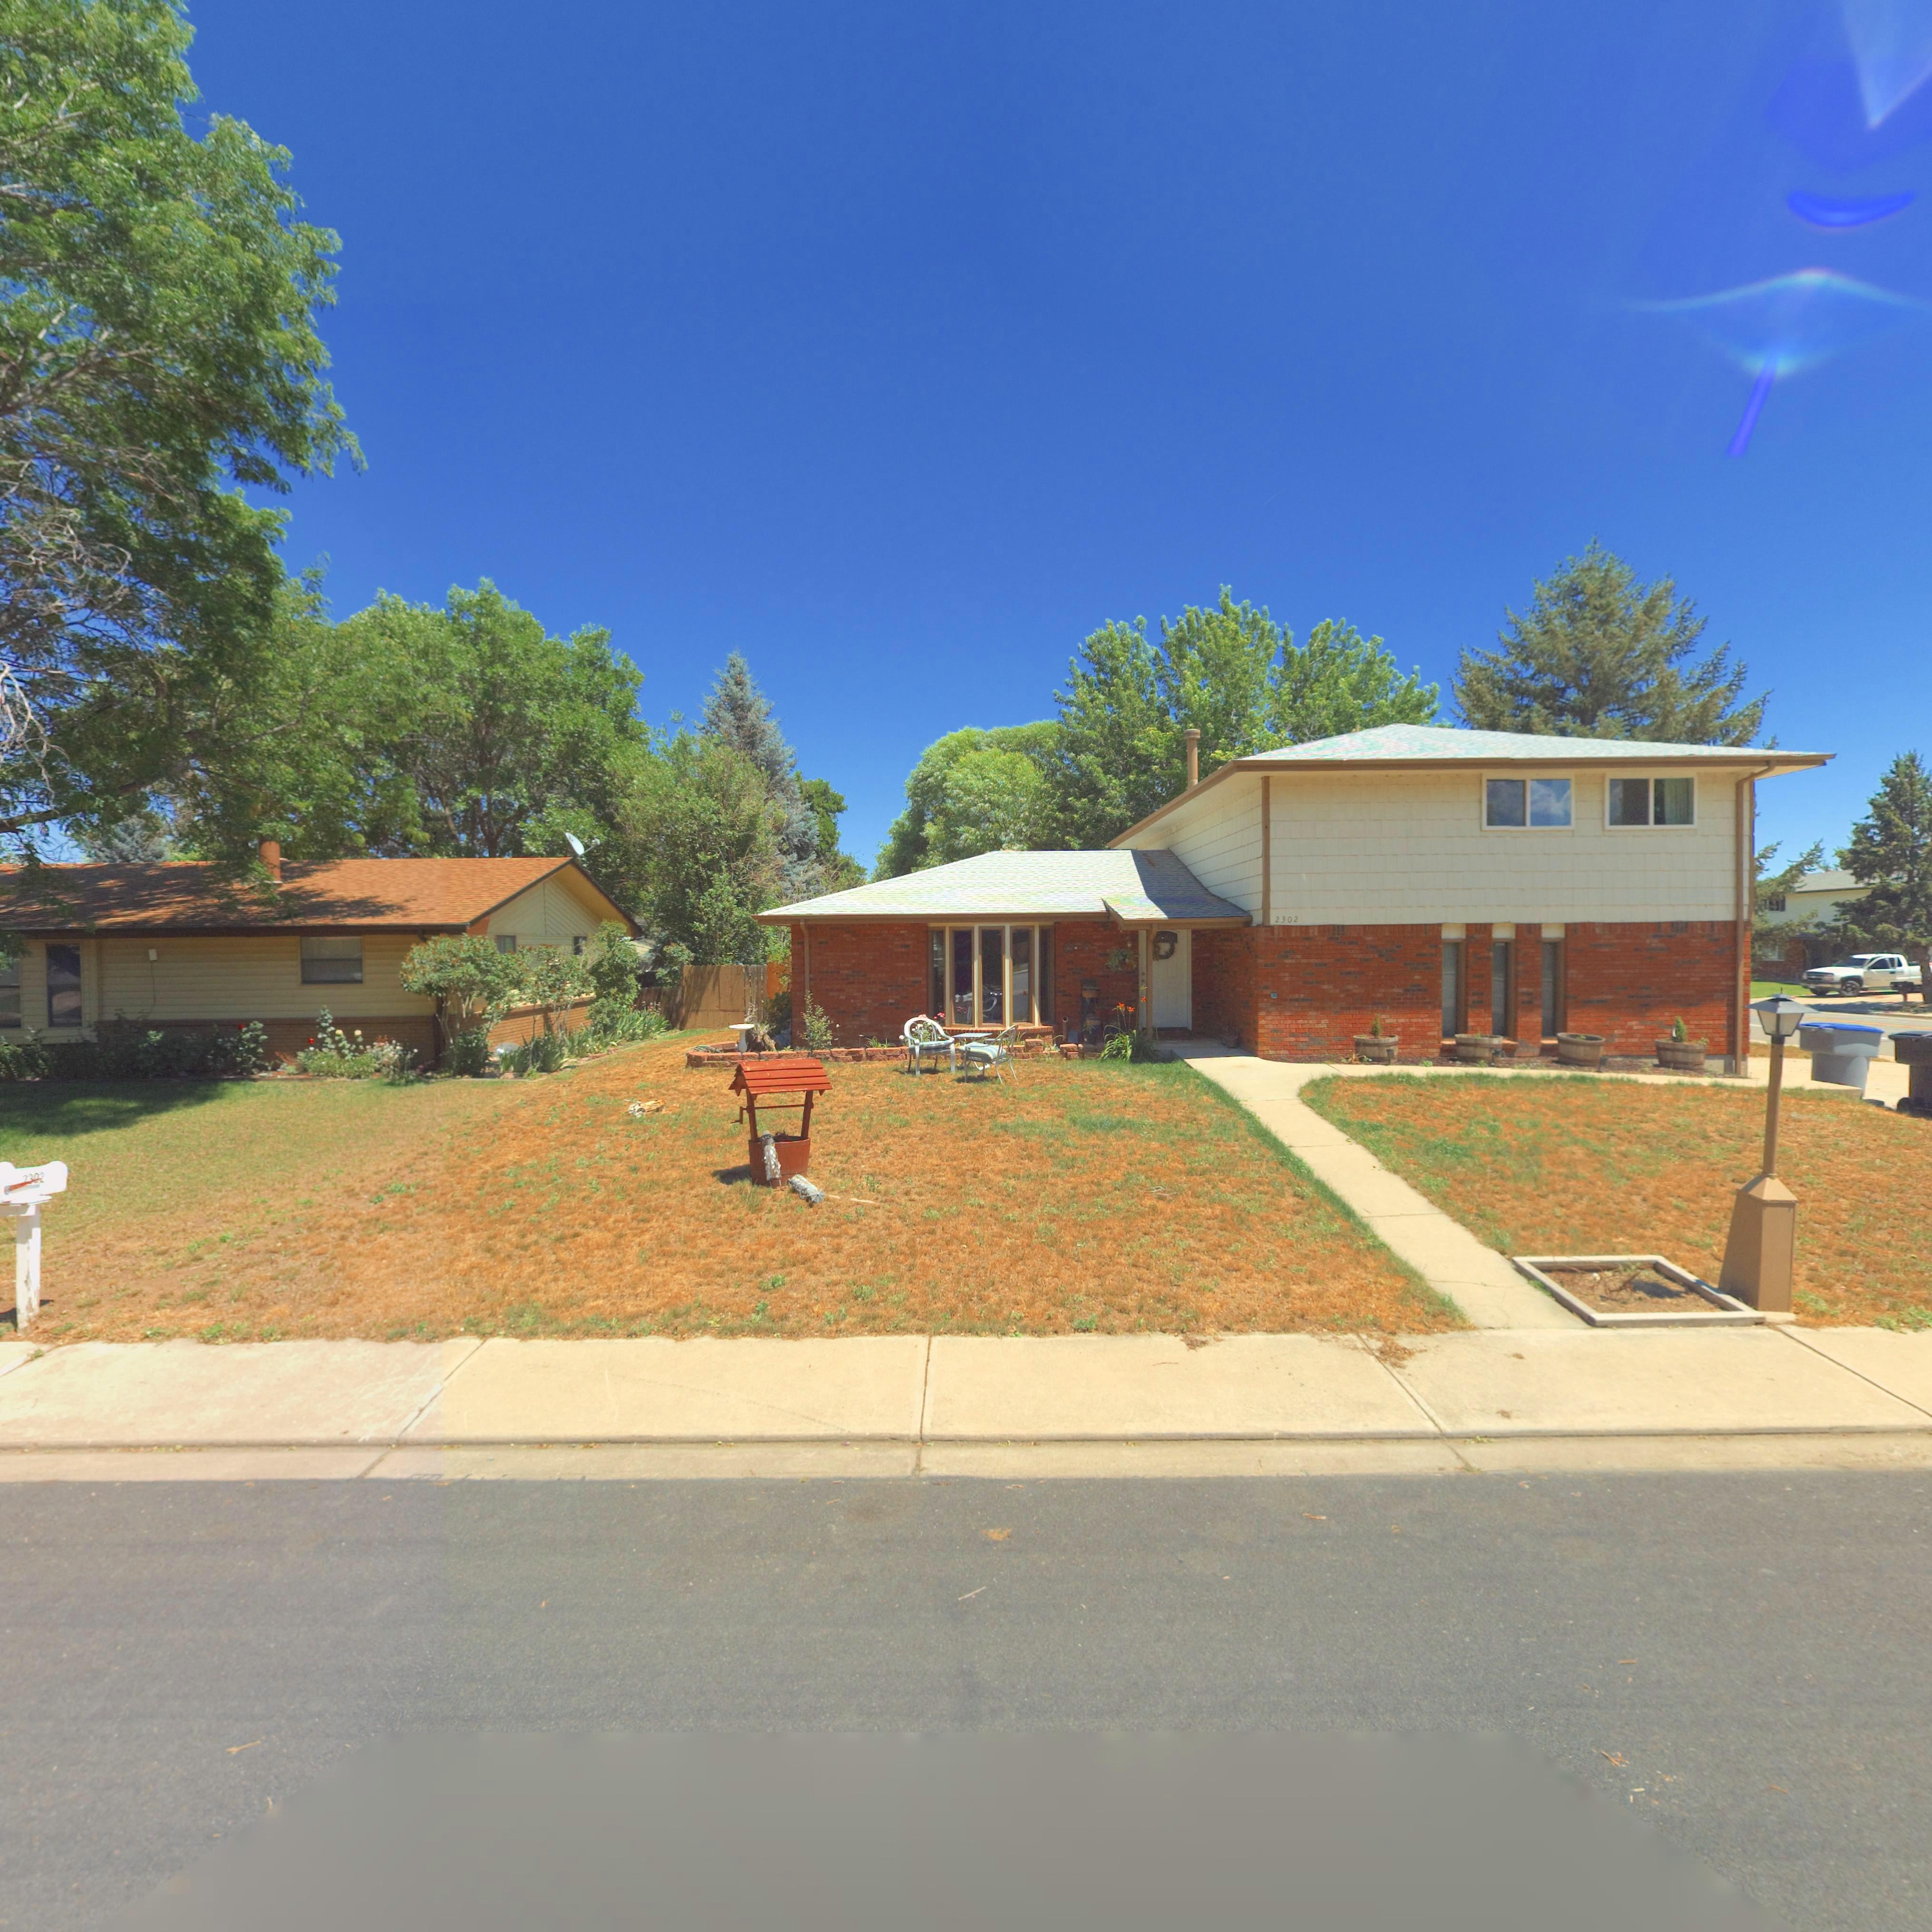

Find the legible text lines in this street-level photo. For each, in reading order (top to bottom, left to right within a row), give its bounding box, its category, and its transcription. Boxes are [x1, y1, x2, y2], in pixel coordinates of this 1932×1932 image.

[1275, 916, 1298, 923] StreetNumber: 2302
[22, 1171, 45, 1185] StreetNumber: ***2